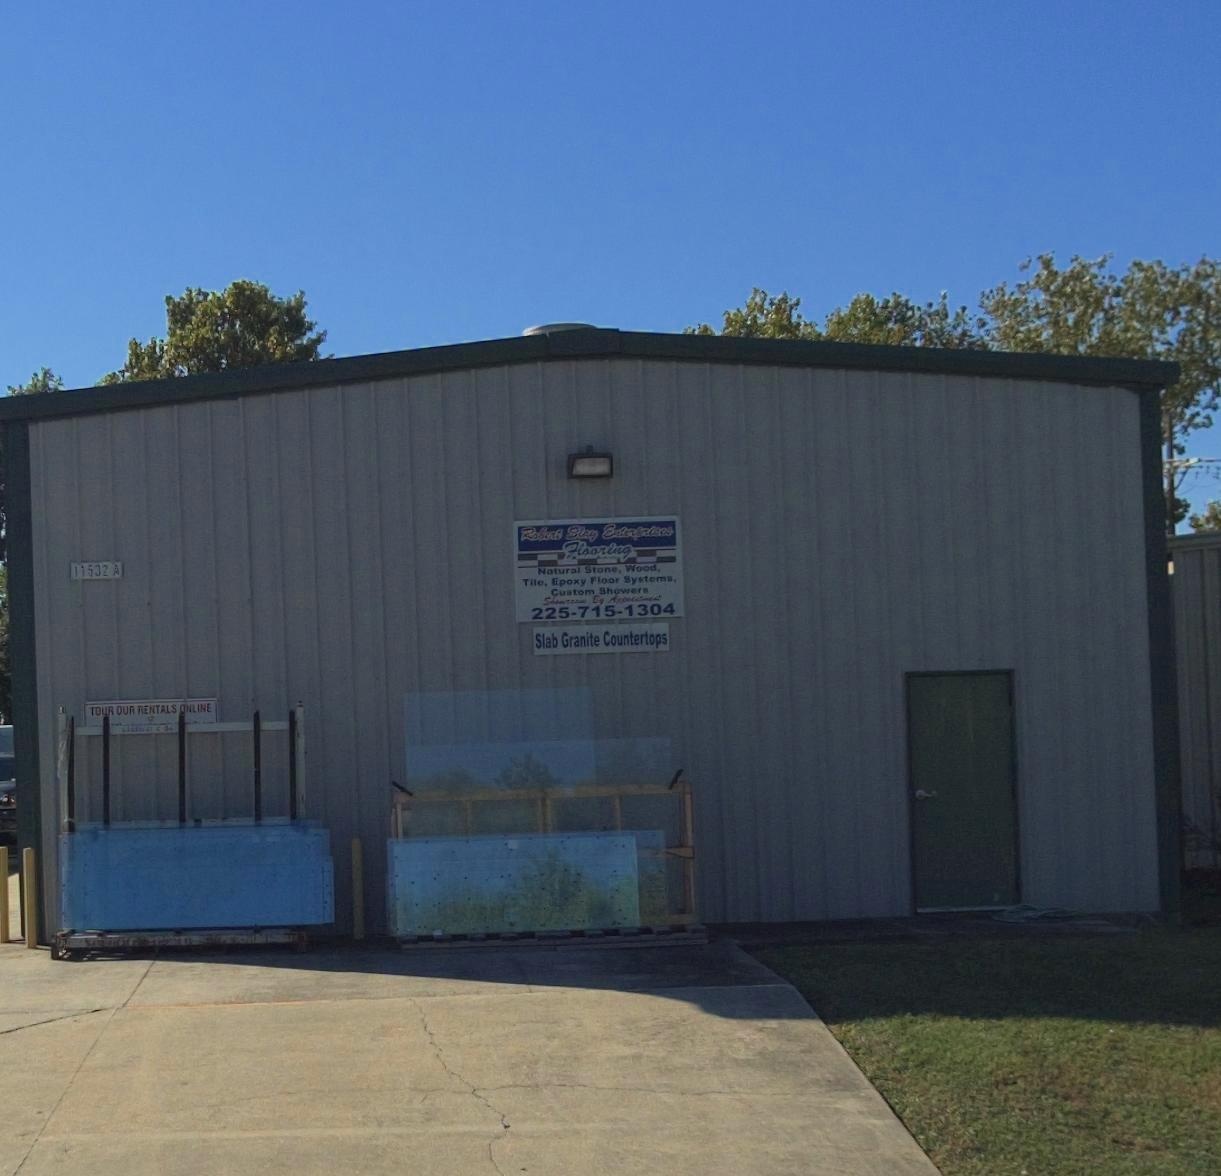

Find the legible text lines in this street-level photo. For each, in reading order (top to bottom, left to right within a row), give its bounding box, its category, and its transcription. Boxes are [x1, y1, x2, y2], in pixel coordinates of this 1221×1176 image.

[519, 521, 617, 544] BusinessName: Robert Slay E
[560, 539, 636, 565] BusinessName: Flooring
[70, 561, 122, 581] StreetNumber: 11532 A
[535, 561, 663, 578] None: Natural Stone, Wood,
[520, 573, 679, 589] None: Tile, Epoxy Floor Systems,
[539, 594, 552, 608] None: S'
[548, 584, 651, 599] None: Custom Showers
[589, 593, 621, 607] None: By A
[529, 600, 679, 623] None: 225-715-1304
[533, 628, 670, 652] None: Slab Granite Countertops
[87, 700, 215, 719] None: TOUR OUR RENTALS ONLINE